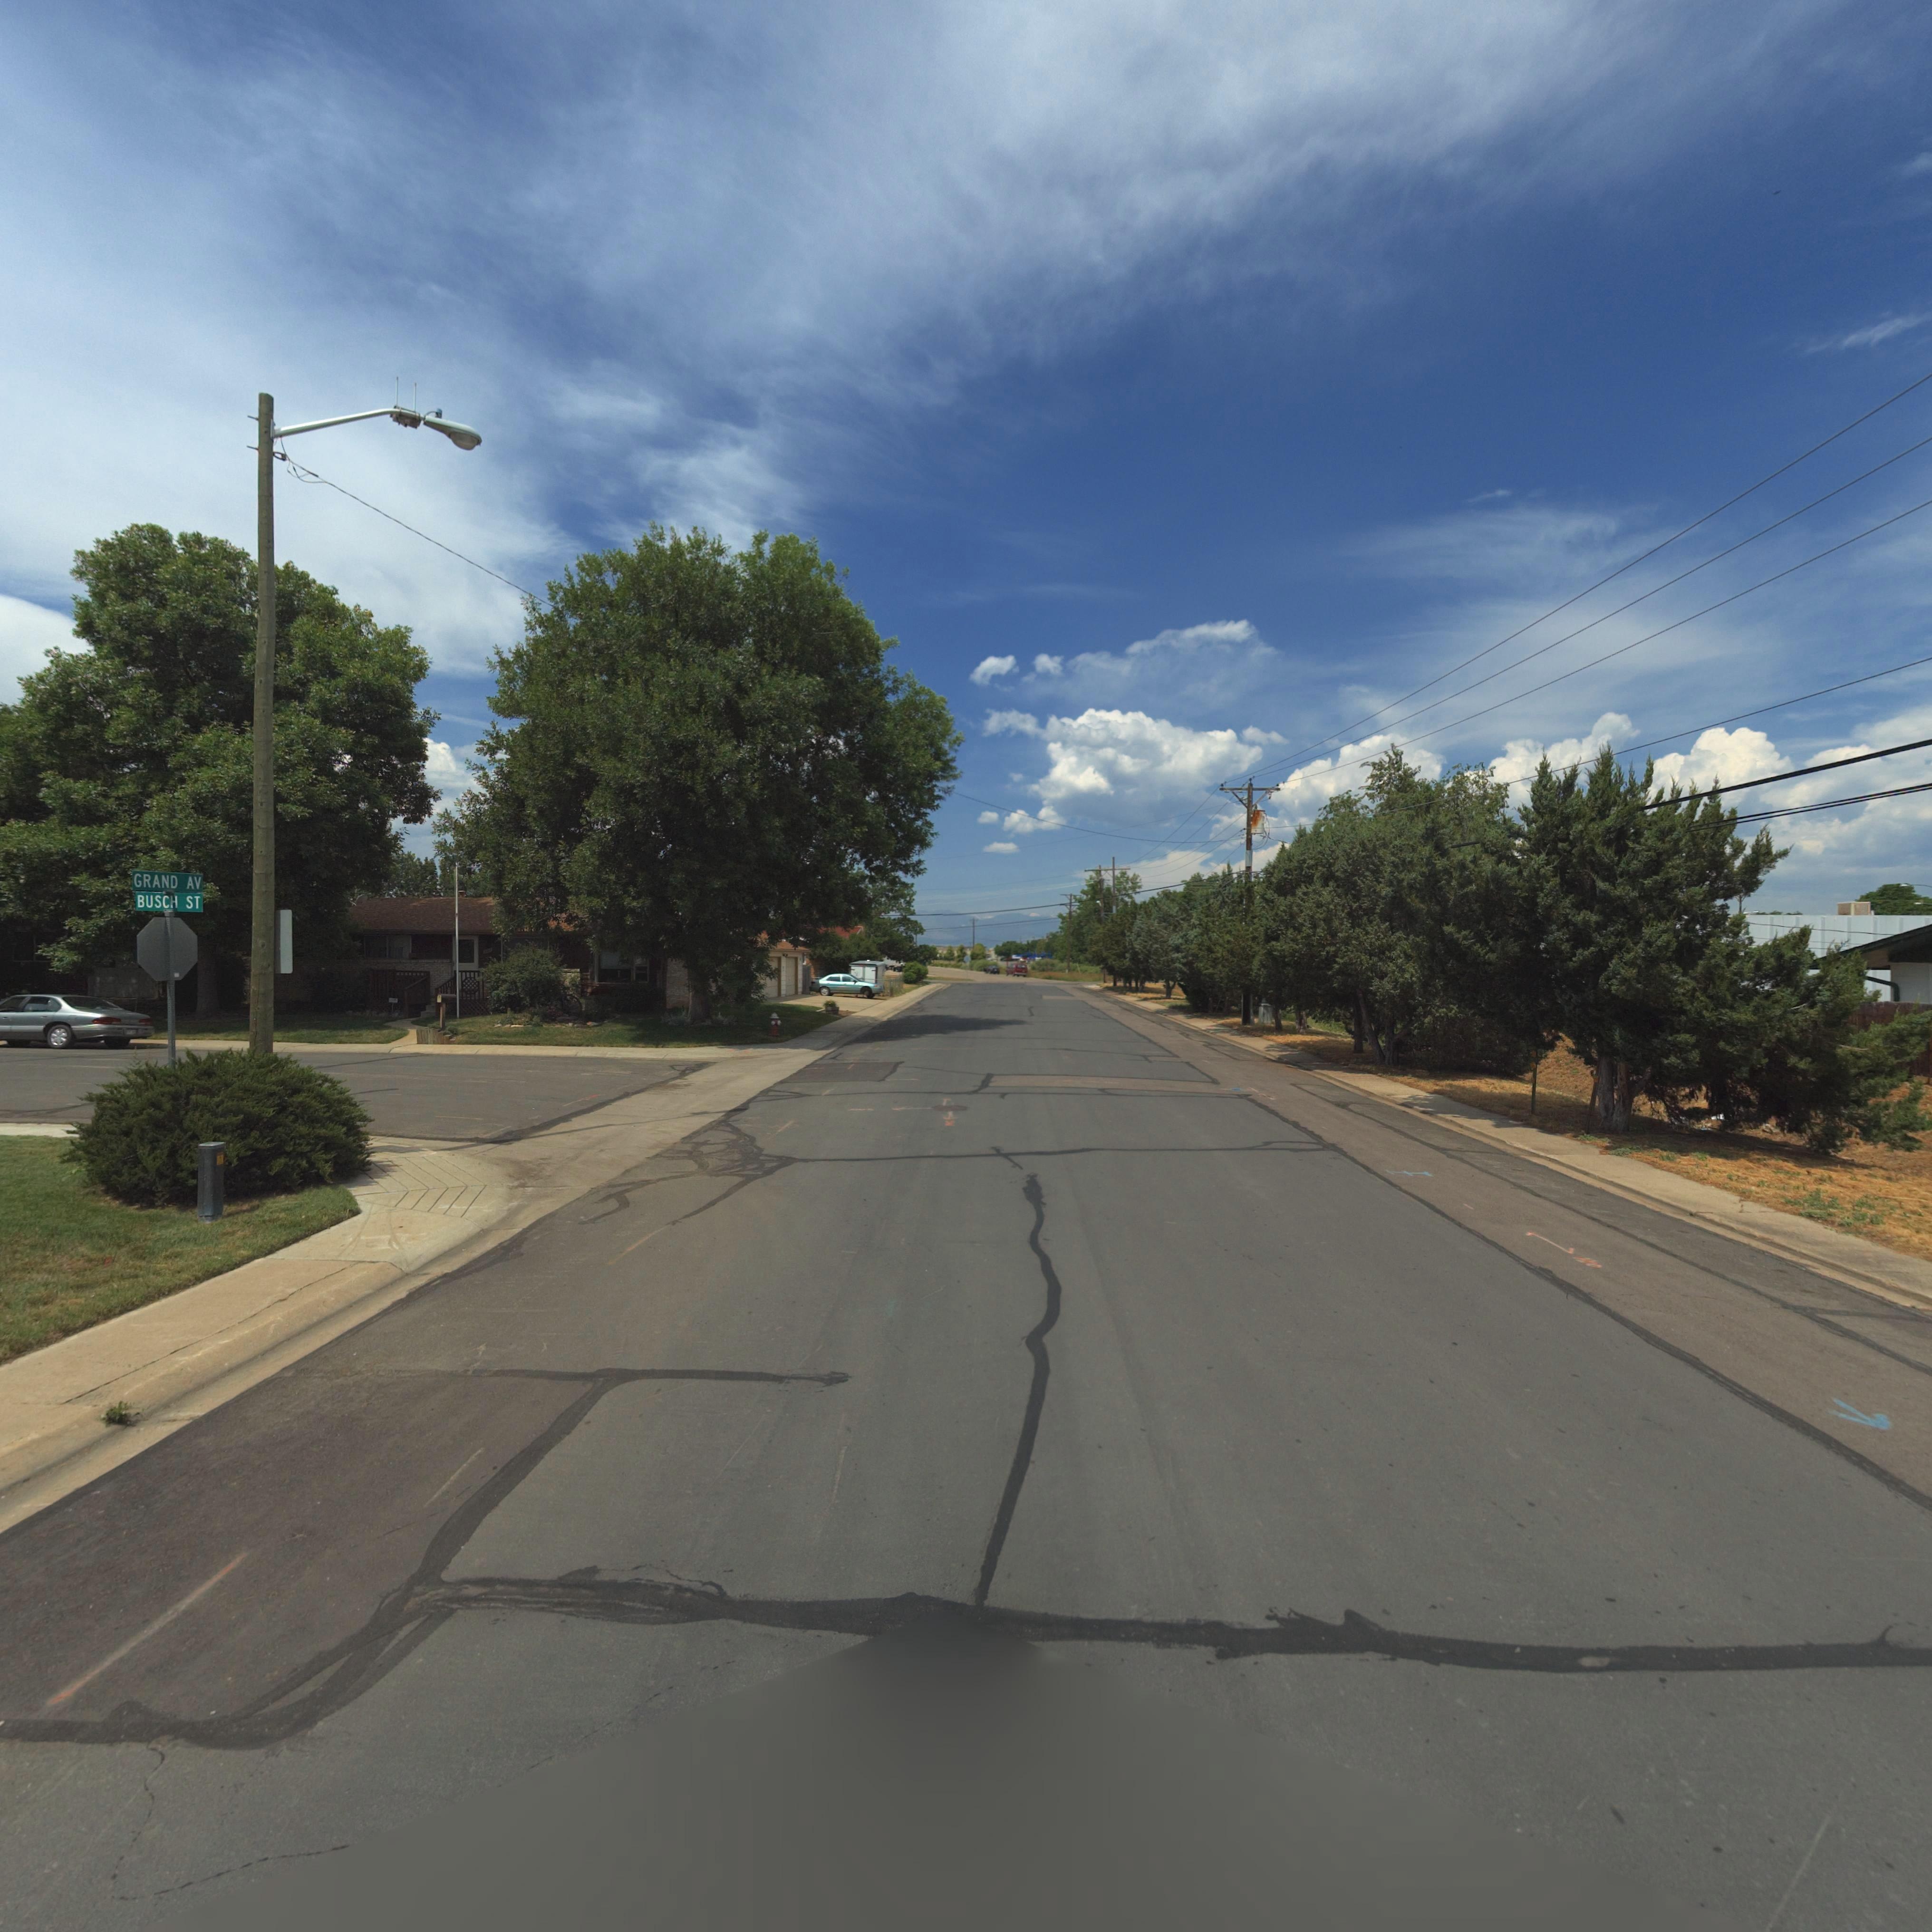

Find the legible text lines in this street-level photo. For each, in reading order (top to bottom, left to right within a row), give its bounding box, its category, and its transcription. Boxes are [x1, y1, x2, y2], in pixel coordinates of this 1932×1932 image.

[133, 873, 203, 890] StreetName: GRAND AV
[136, 894, 202, 909] StreetName: BUSCH ST